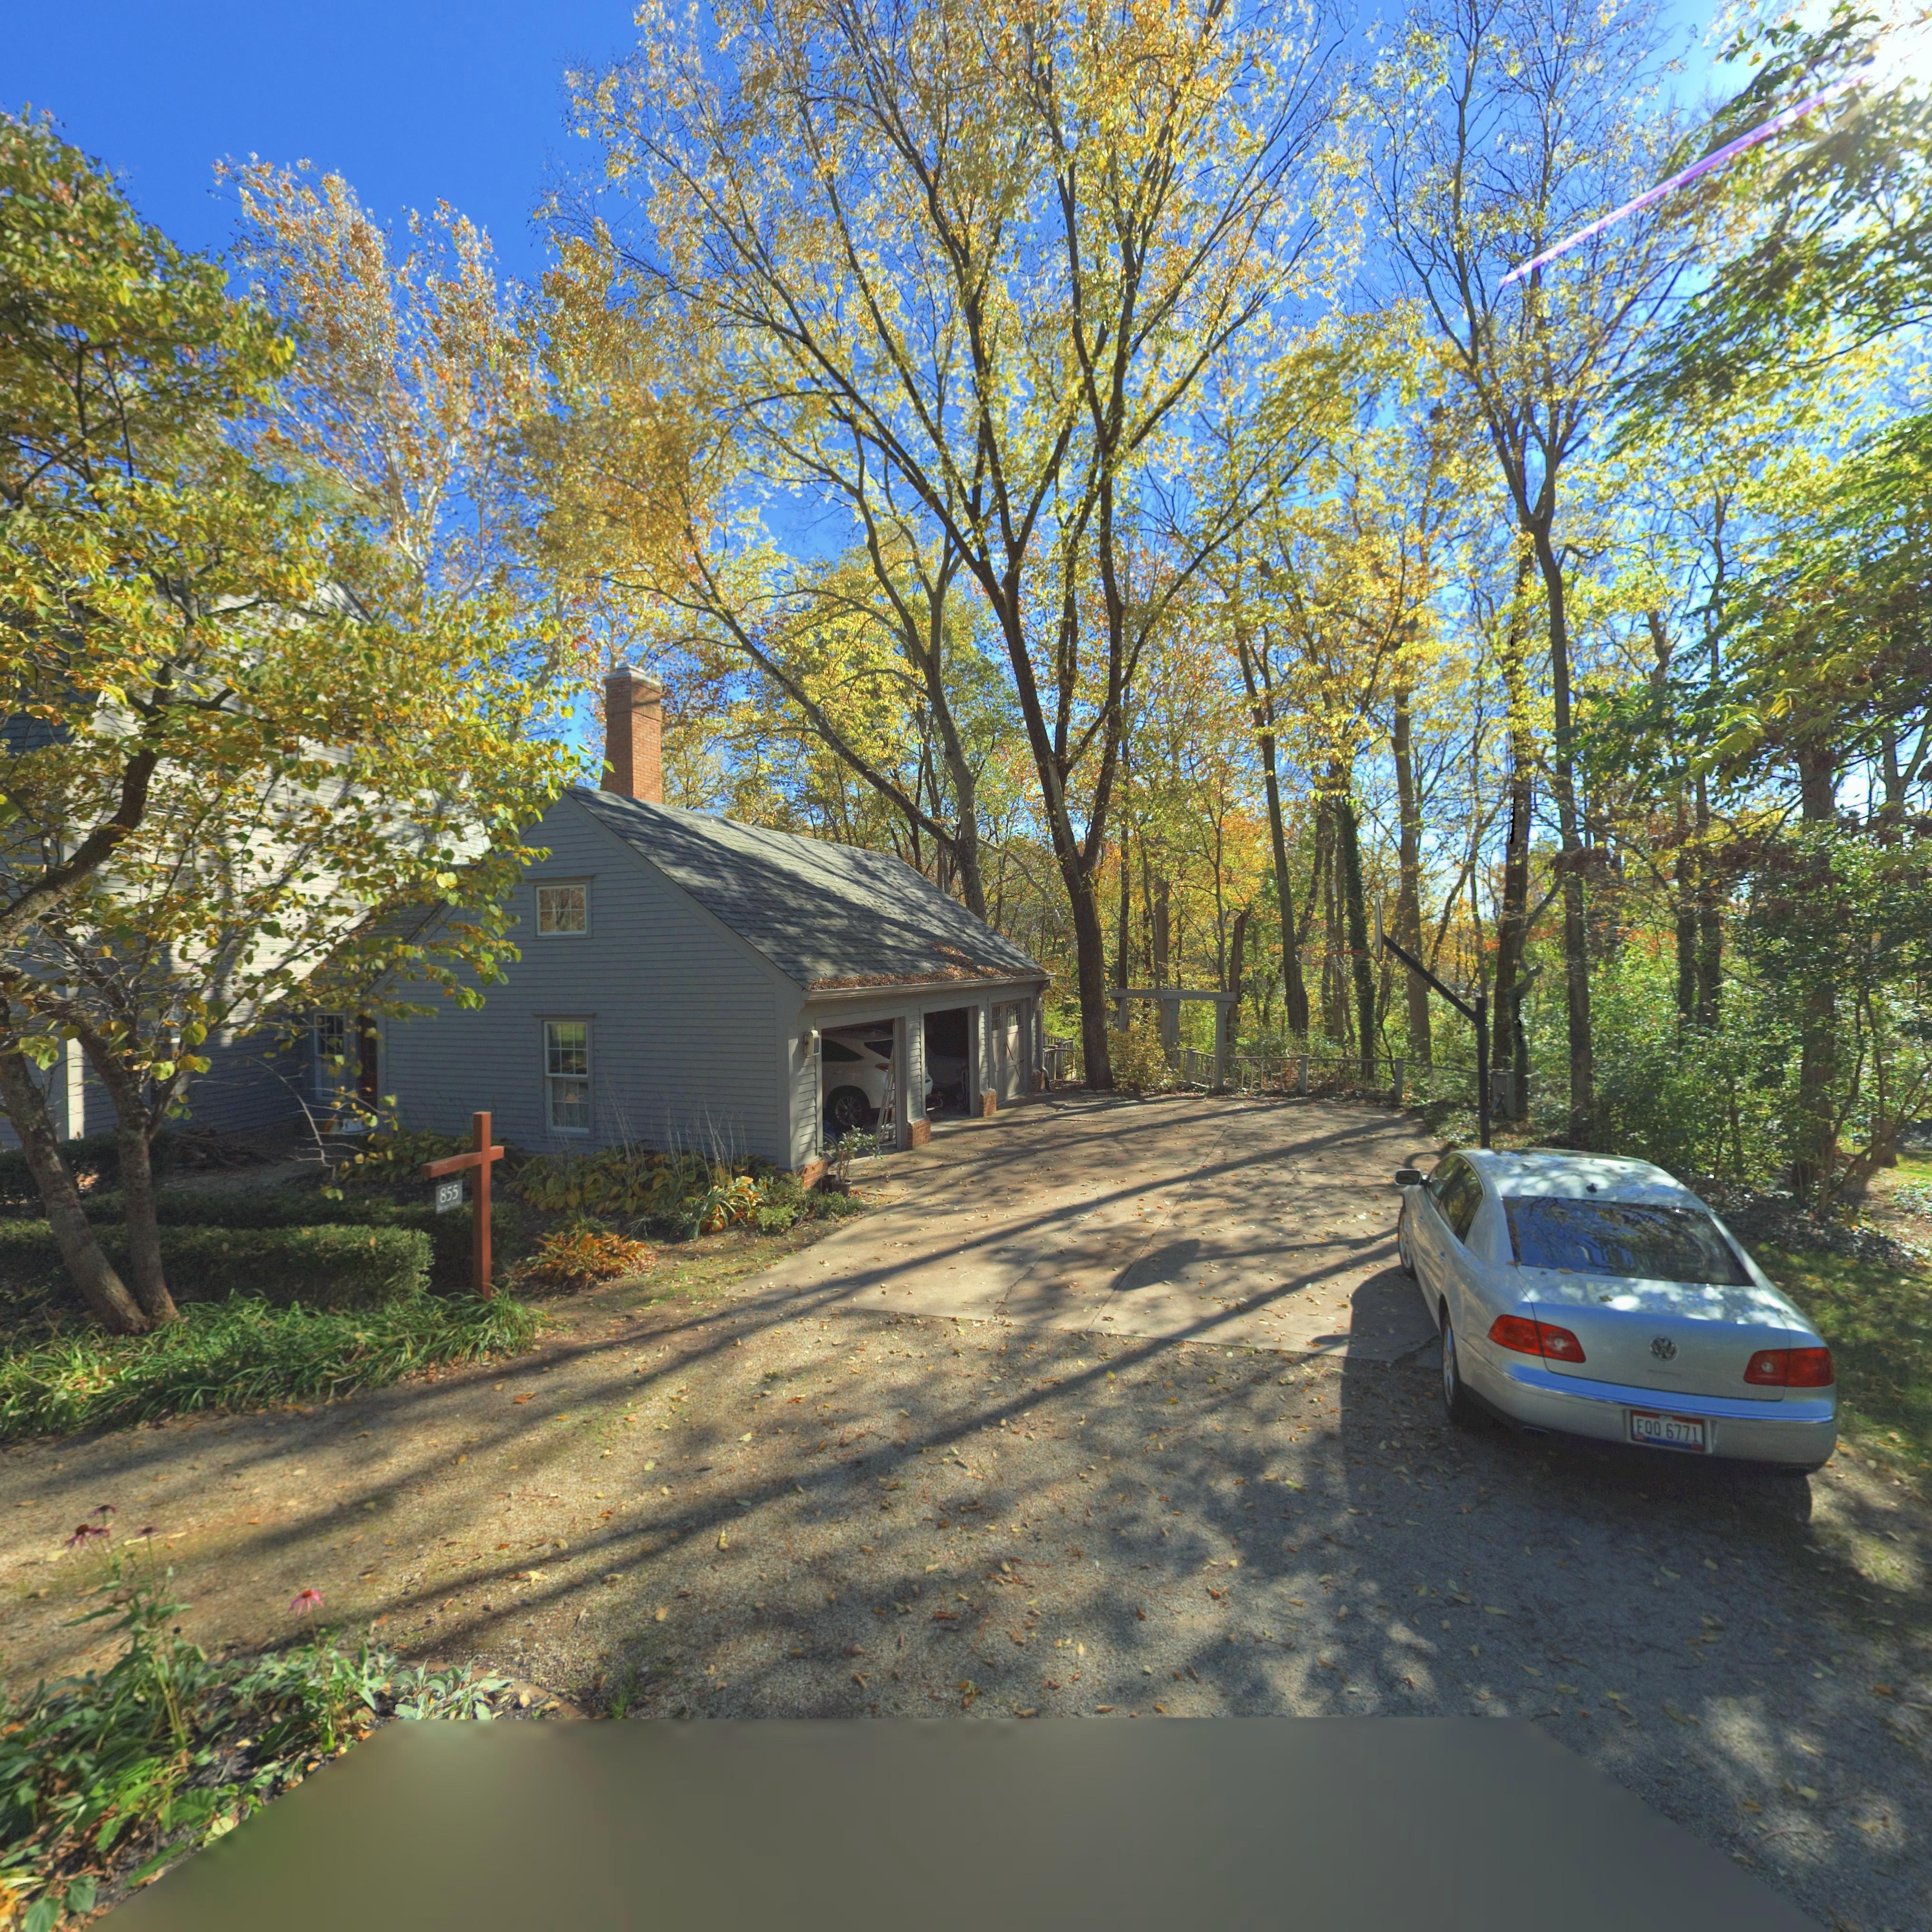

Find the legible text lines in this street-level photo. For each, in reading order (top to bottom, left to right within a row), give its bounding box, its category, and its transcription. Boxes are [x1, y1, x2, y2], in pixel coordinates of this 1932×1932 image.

[439, 1183, 459, 1205] StreetNumber: 855
[1635, 1417, 1700, 1445] None: E*Q*6771